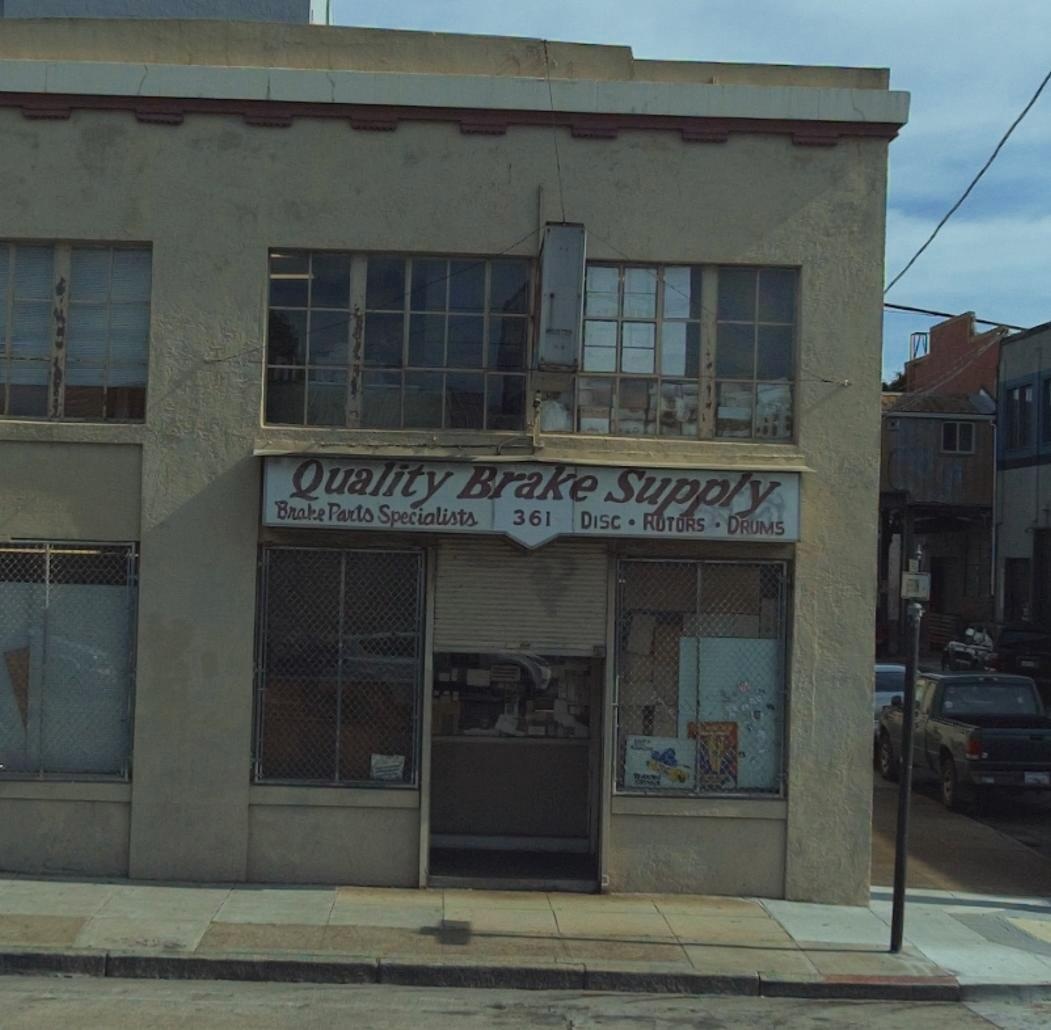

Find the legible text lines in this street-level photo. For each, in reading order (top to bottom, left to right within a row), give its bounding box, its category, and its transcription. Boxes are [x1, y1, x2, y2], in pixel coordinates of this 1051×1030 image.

[280, 451, 791, 522] BusinessName: Quality Brake Supply
[270, 495, 485, 532] None: Brake Parts Specialists
[510, 506, 555, 533] StreetNumber: 361
[574, 507, 791, 542] None: DISC * ROTORS * DRUMS